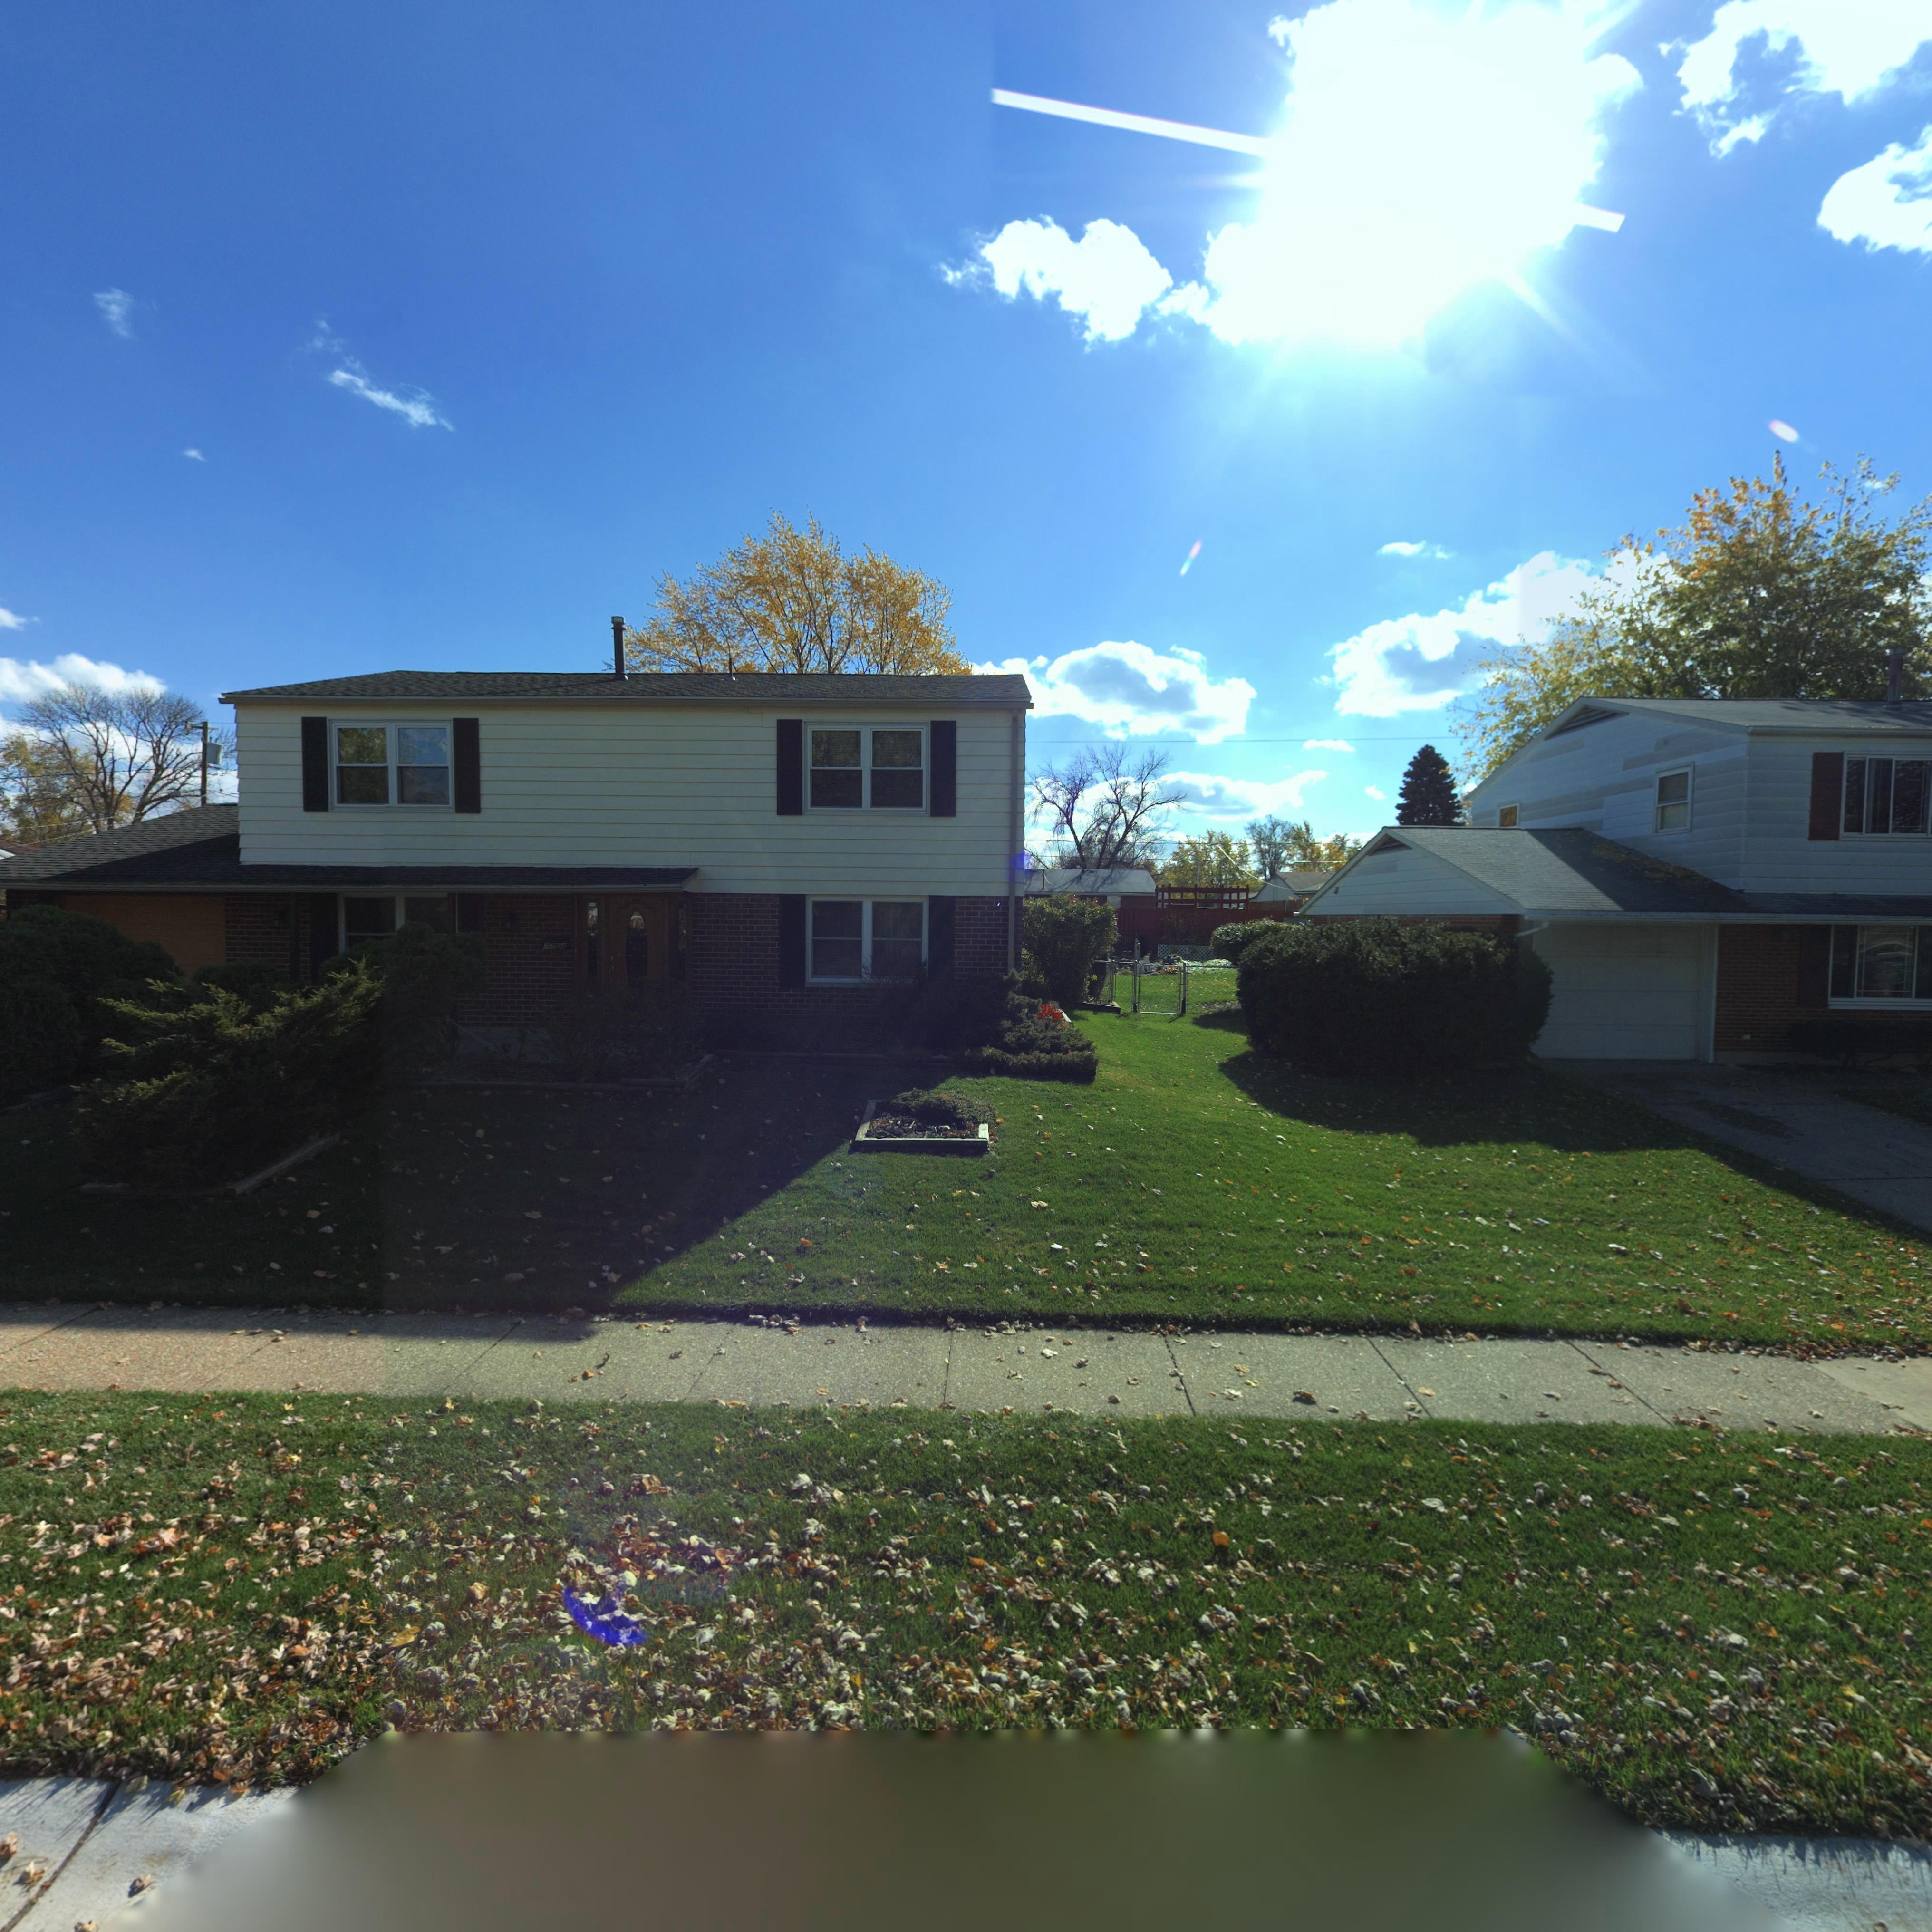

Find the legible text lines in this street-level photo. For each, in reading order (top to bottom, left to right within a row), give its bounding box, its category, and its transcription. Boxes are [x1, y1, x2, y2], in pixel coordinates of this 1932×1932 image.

[542, 943, 567, 950] StreetNumber: 7754